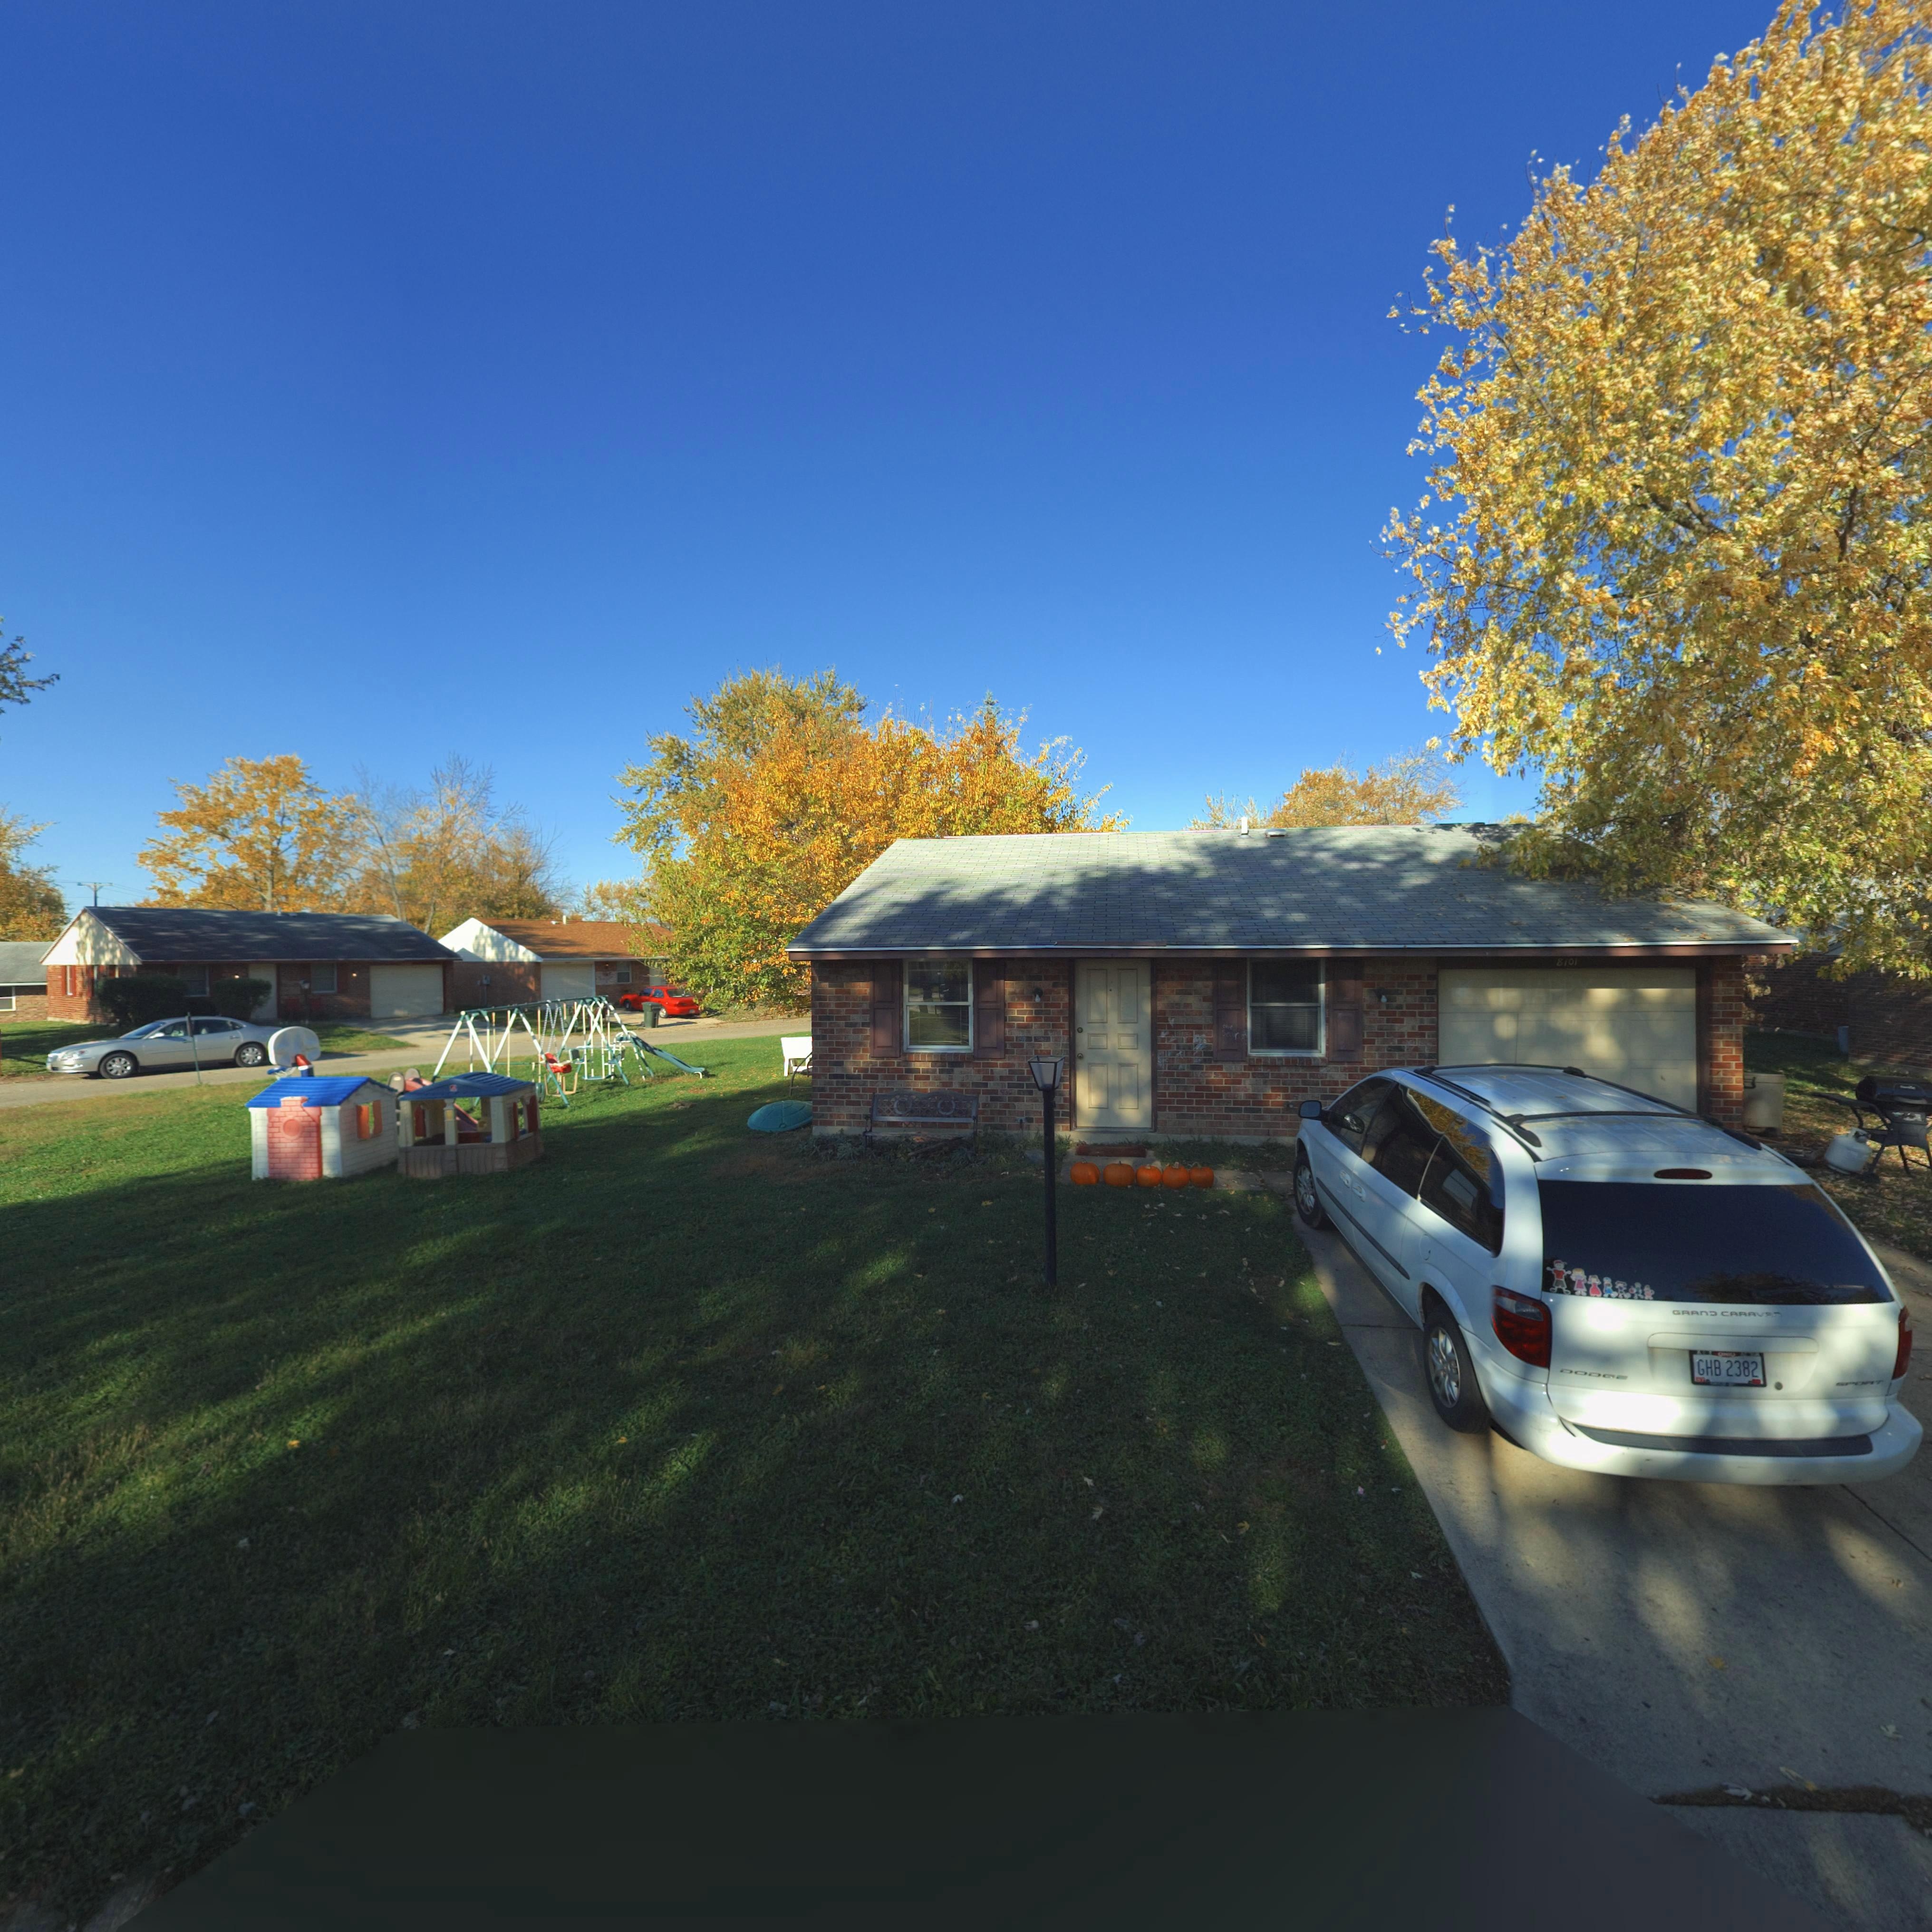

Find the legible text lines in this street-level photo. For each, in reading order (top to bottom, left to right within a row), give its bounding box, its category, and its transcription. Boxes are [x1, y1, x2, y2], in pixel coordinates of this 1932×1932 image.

[1555, 956, 1579, 967] StreetNumber: 8101